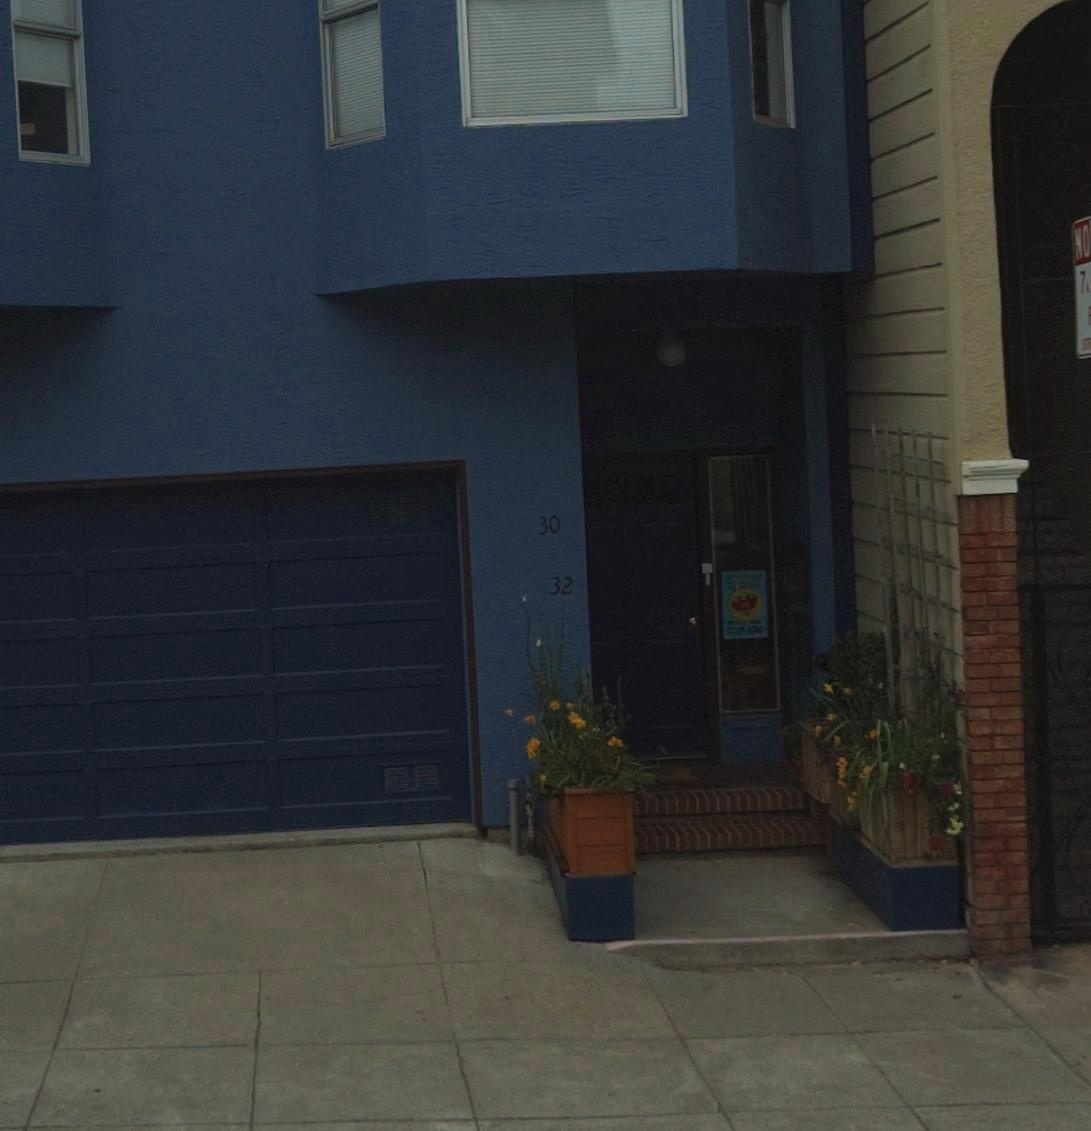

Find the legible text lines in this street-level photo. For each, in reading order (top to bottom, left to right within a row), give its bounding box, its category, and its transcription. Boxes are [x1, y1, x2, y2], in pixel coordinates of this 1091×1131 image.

[536, 514, 562, 536] StreetNumber: 30
[548, 575, 573, 597] StreetNumber: 32